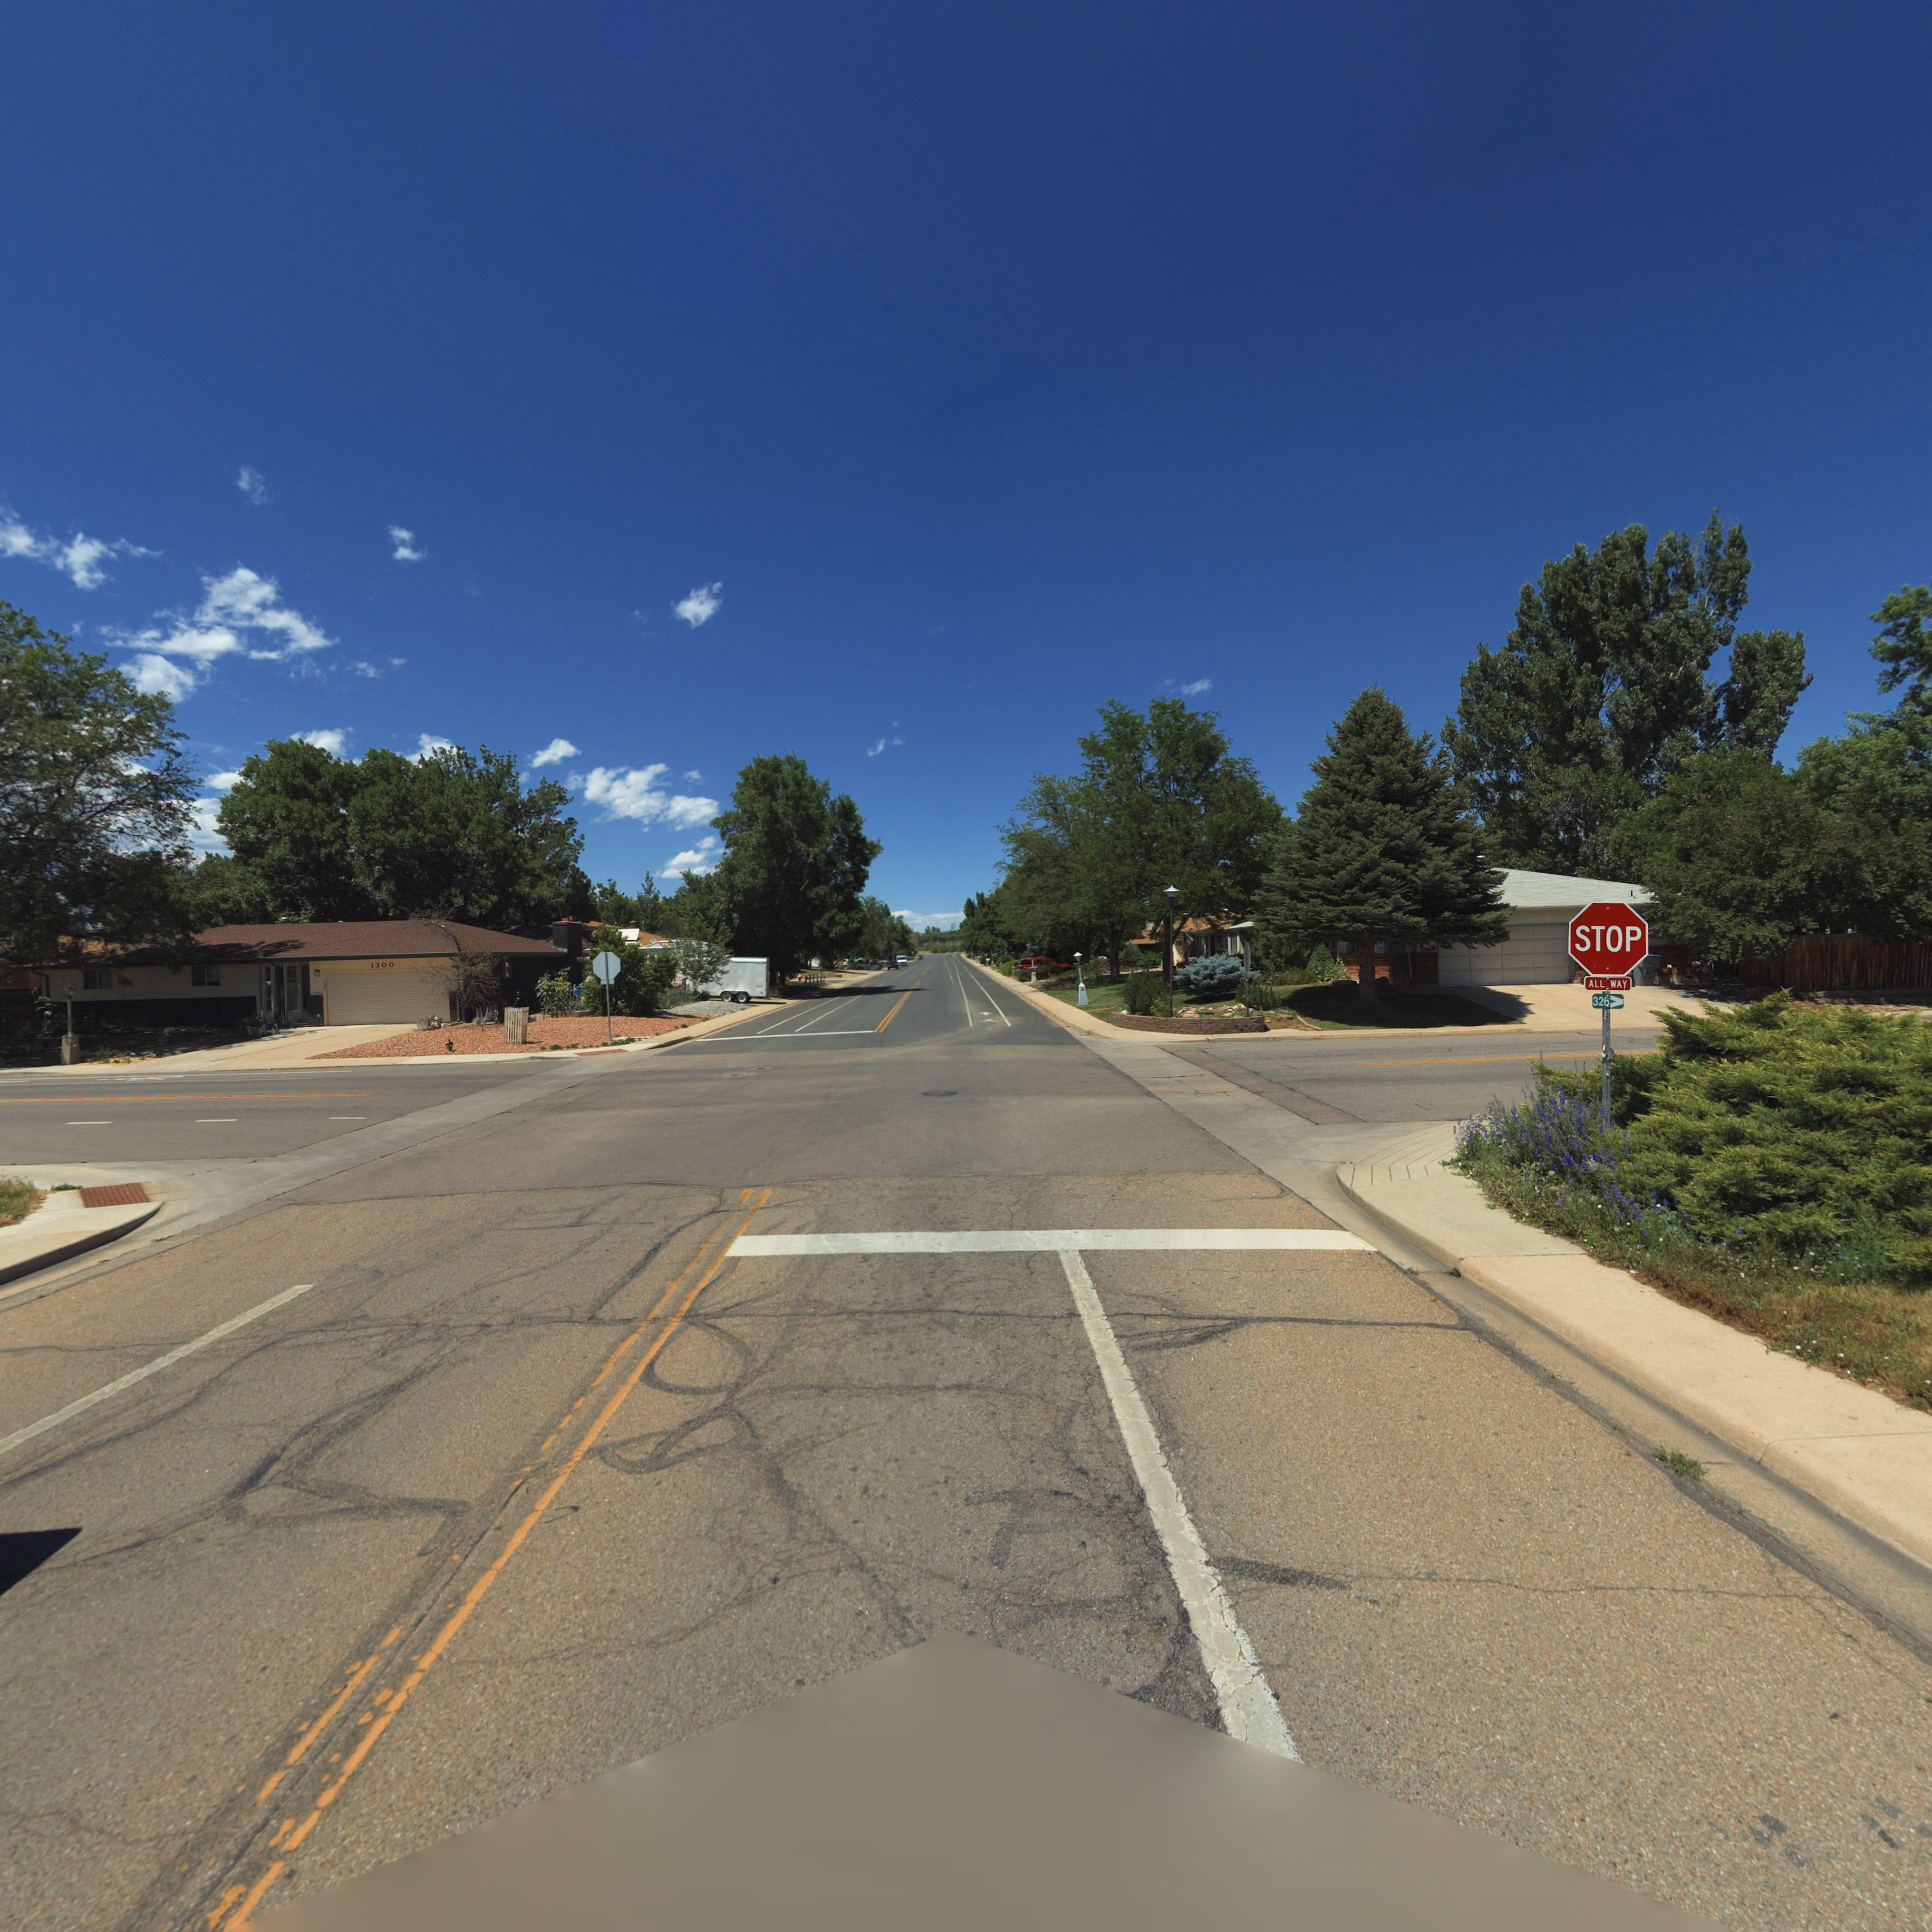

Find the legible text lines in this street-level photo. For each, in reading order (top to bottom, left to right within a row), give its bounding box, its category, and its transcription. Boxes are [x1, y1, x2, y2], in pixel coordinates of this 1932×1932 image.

[370, 962, 394, 968] StreetNumber: 1300